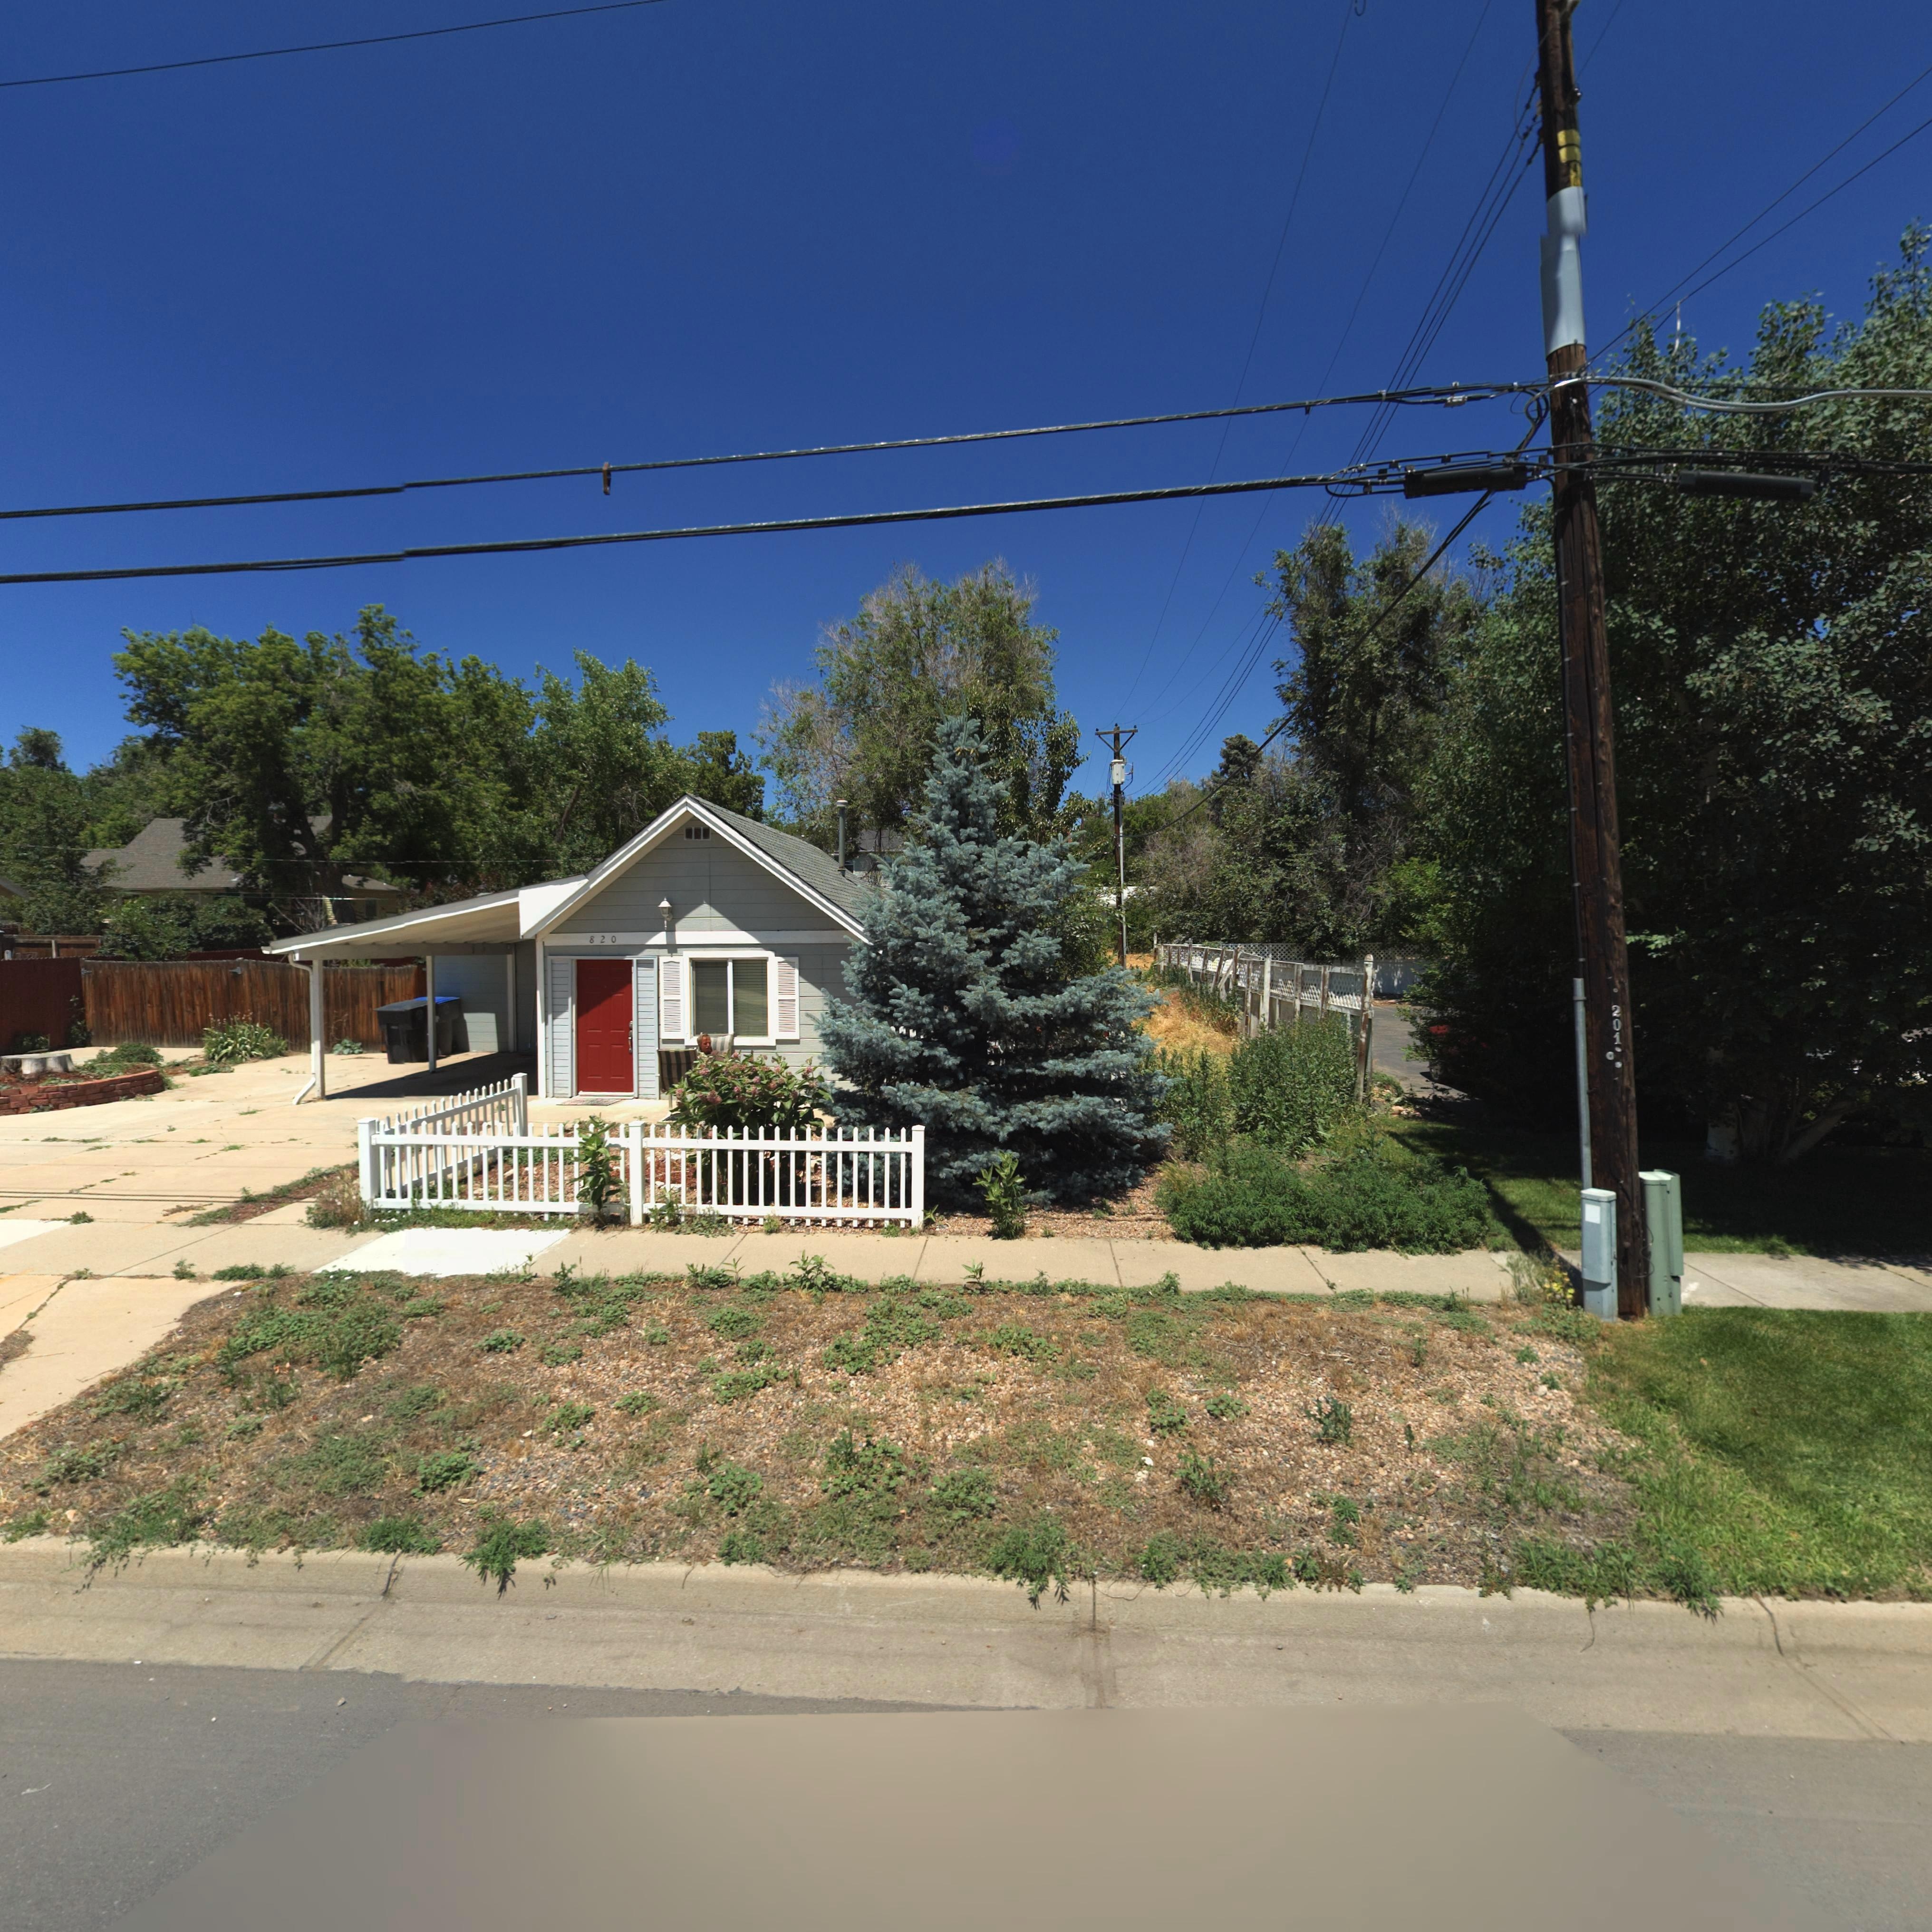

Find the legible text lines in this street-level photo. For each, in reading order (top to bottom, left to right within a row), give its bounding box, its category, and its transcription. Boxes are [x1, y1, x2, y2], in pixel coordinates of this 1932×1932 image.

[589, 935, 617, 944] StreetNumber: 820
[1611, 1004, 1623, 1044] StreetNumber: 201